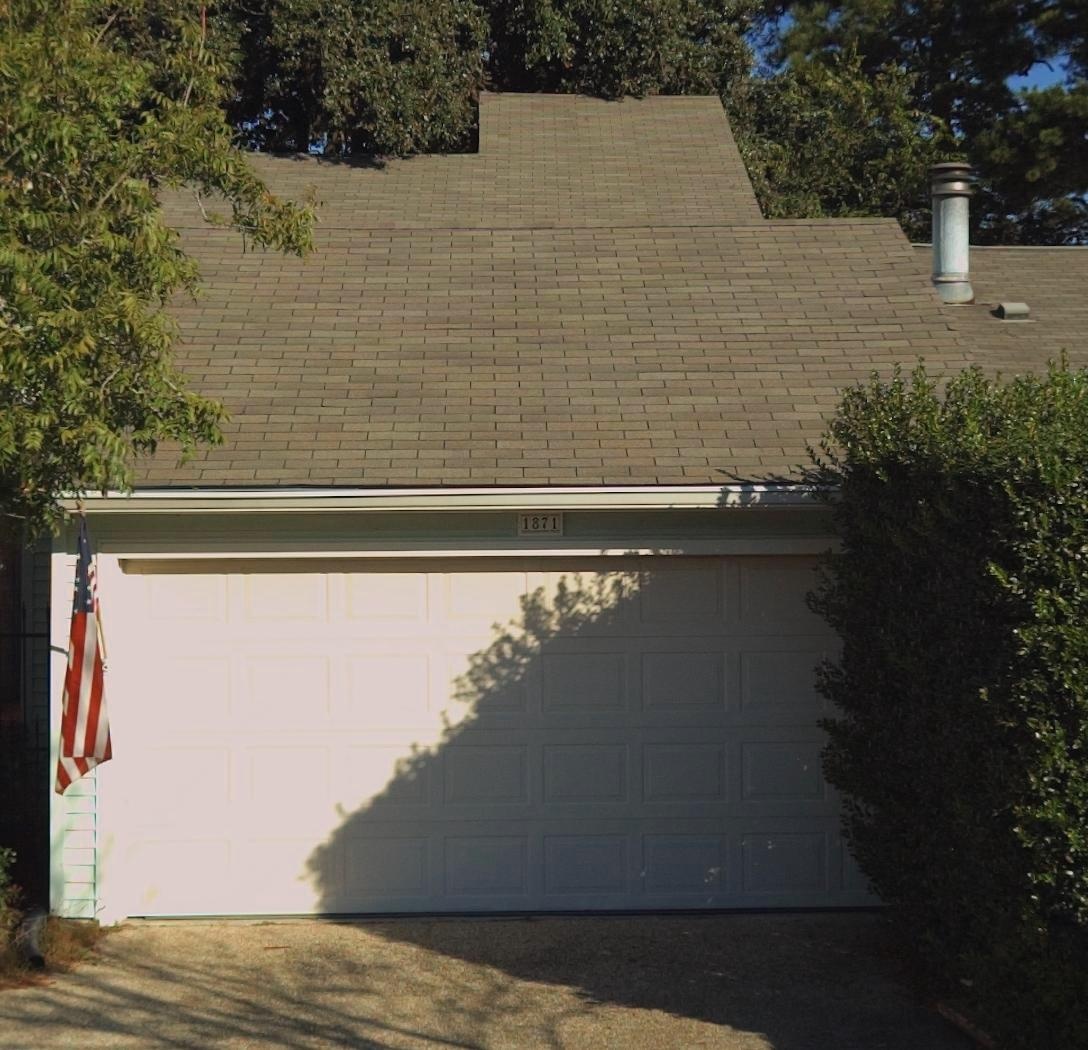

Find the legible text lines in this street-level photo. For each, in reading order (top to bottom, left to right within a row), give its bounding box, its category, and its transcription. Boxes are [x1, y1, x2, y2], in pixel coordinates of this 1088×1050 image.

[521, 515, 559, 531] StreetNumber: 1871